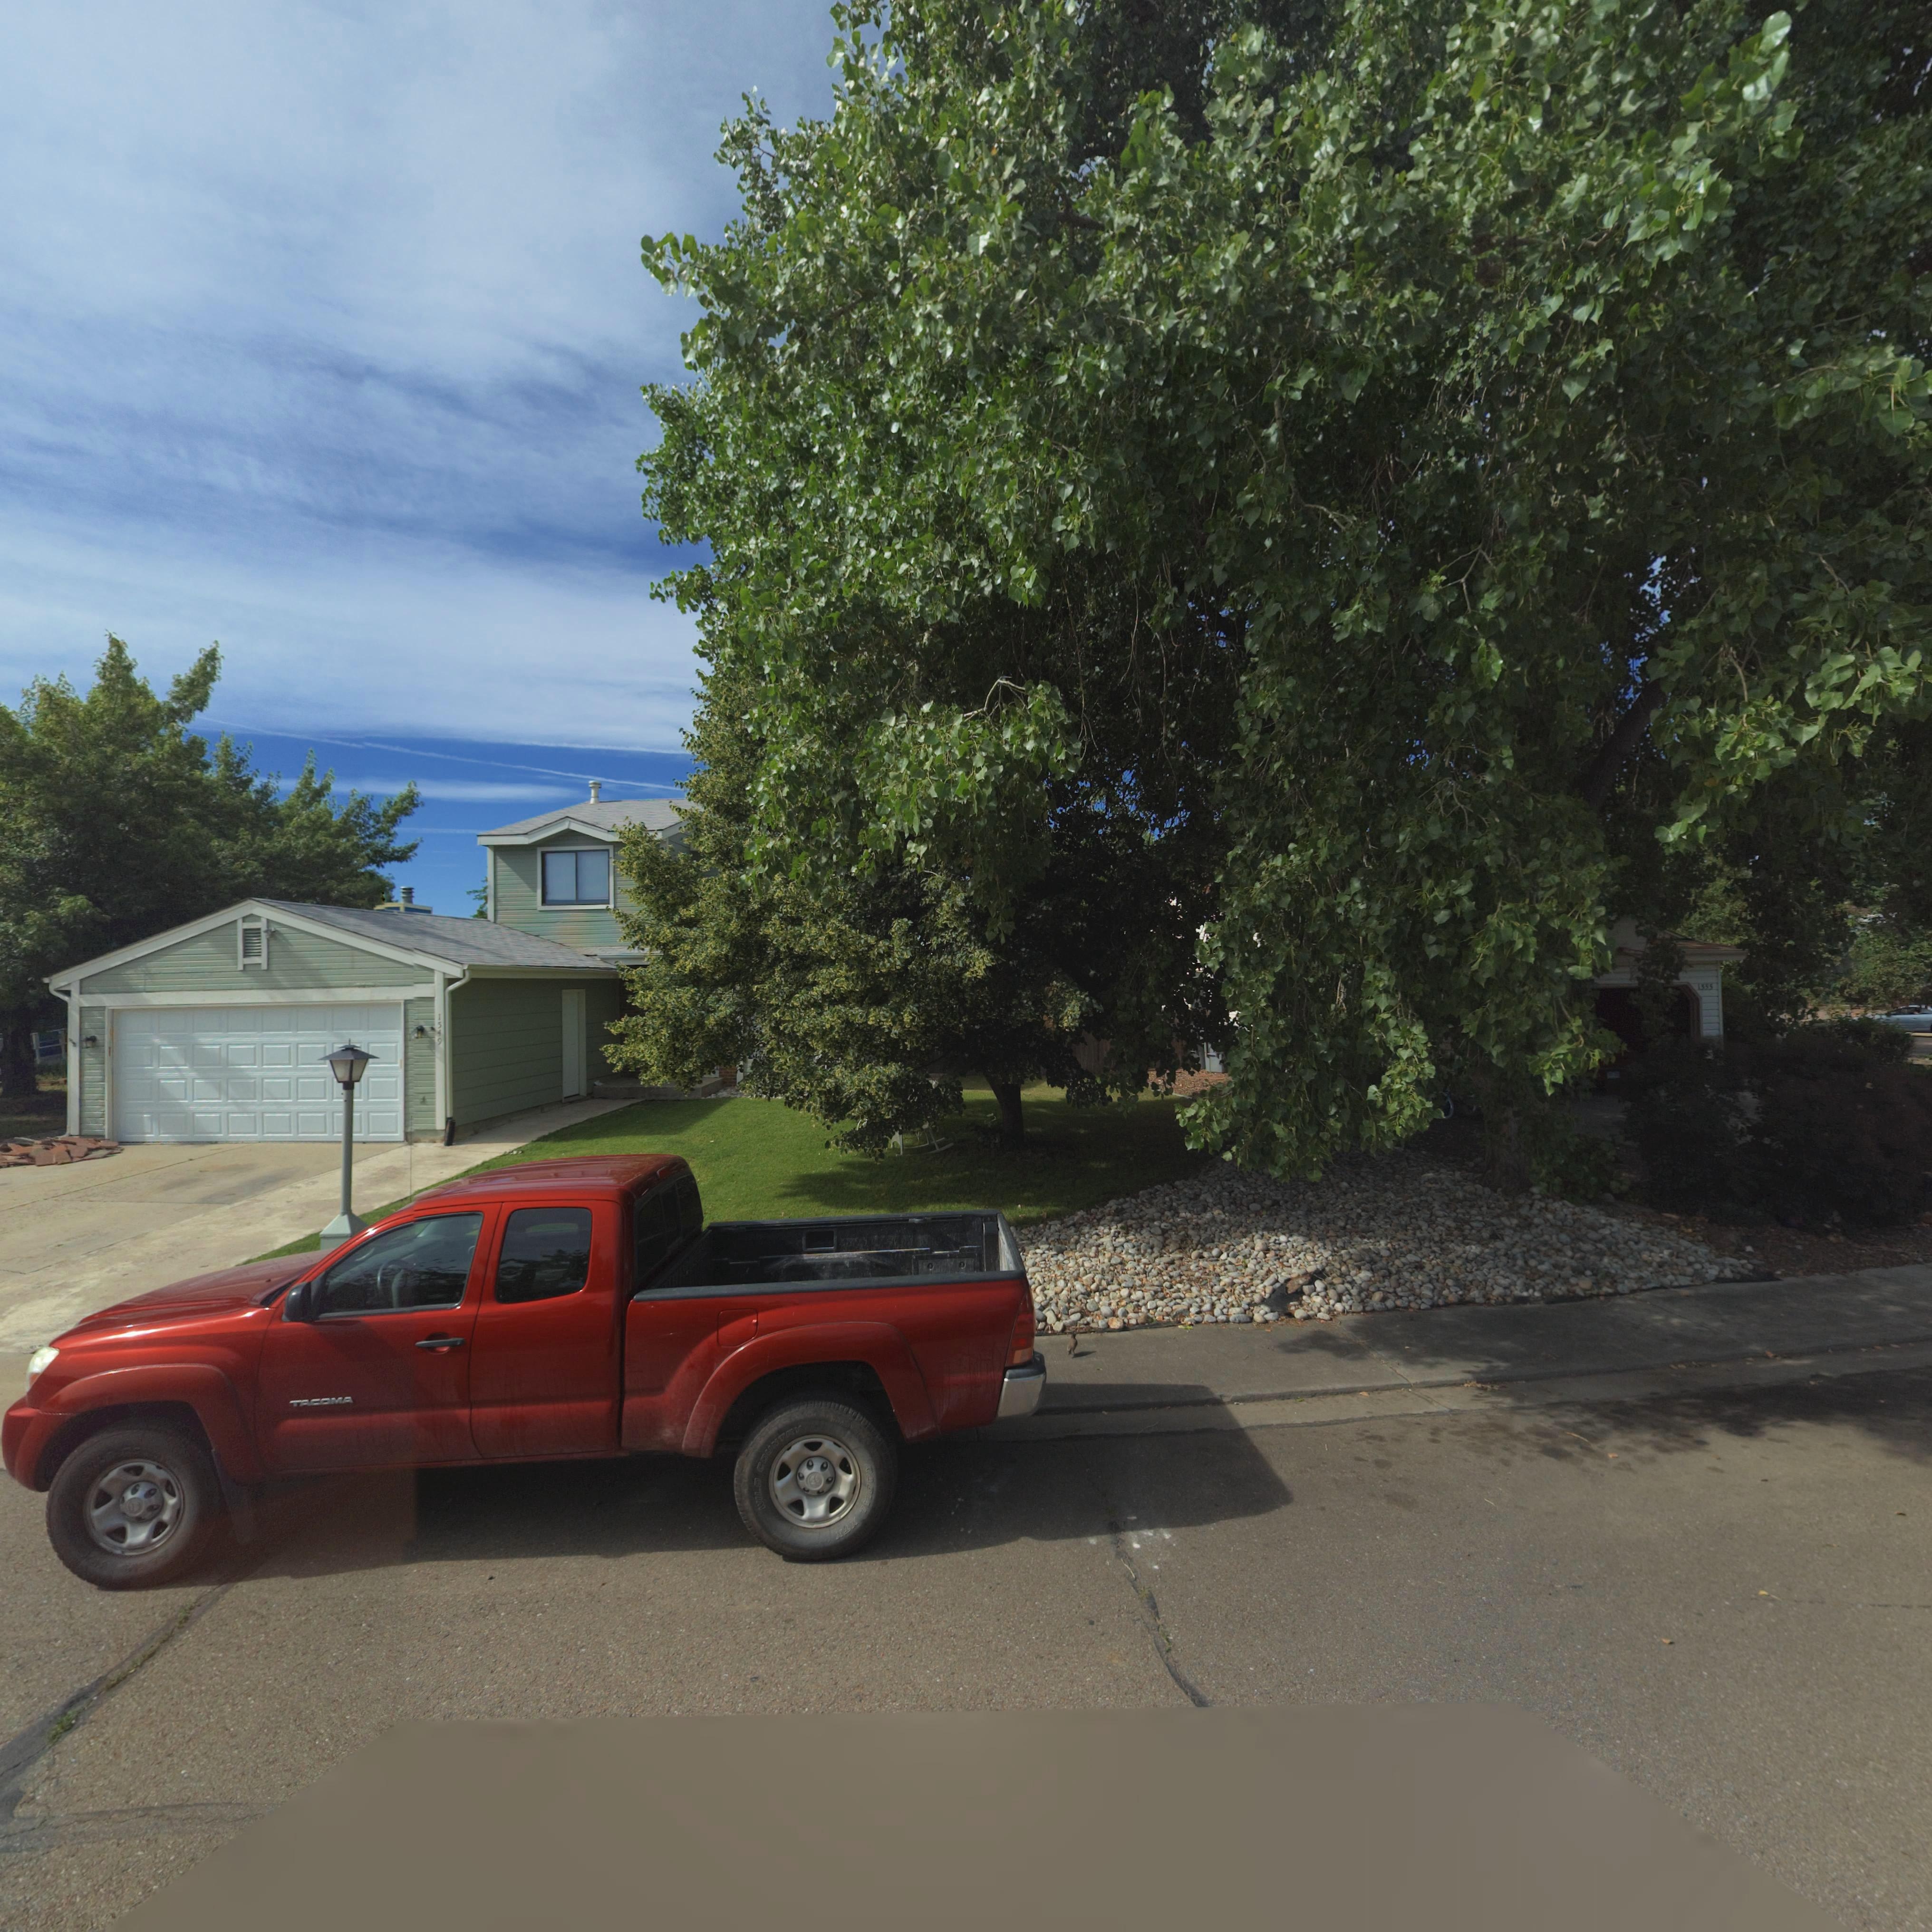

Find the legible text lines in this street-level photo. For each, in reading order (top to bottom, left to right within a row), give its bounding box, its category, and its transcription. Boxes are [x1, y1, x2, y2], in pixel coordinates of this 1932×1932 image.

[1697, 983, 1713, 990] StreetNumber: 1333
[437, 1012, 442, 1045] StreetNumber: 1549